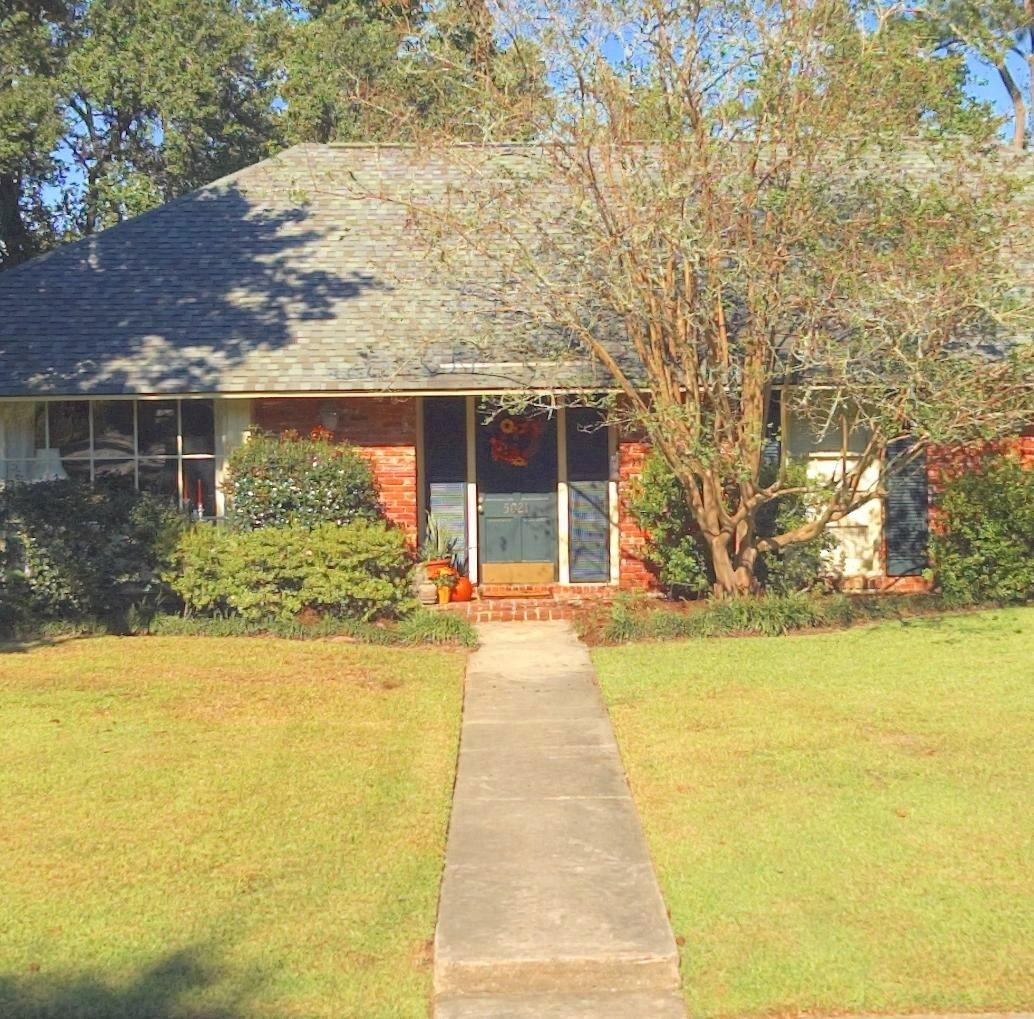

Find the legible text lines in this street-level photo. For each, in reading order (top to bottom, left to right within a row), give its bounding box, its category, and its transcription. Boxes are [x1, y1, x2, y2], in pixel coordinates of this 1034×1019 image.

[501, 501, 530, 516] StreetNumber: 5021